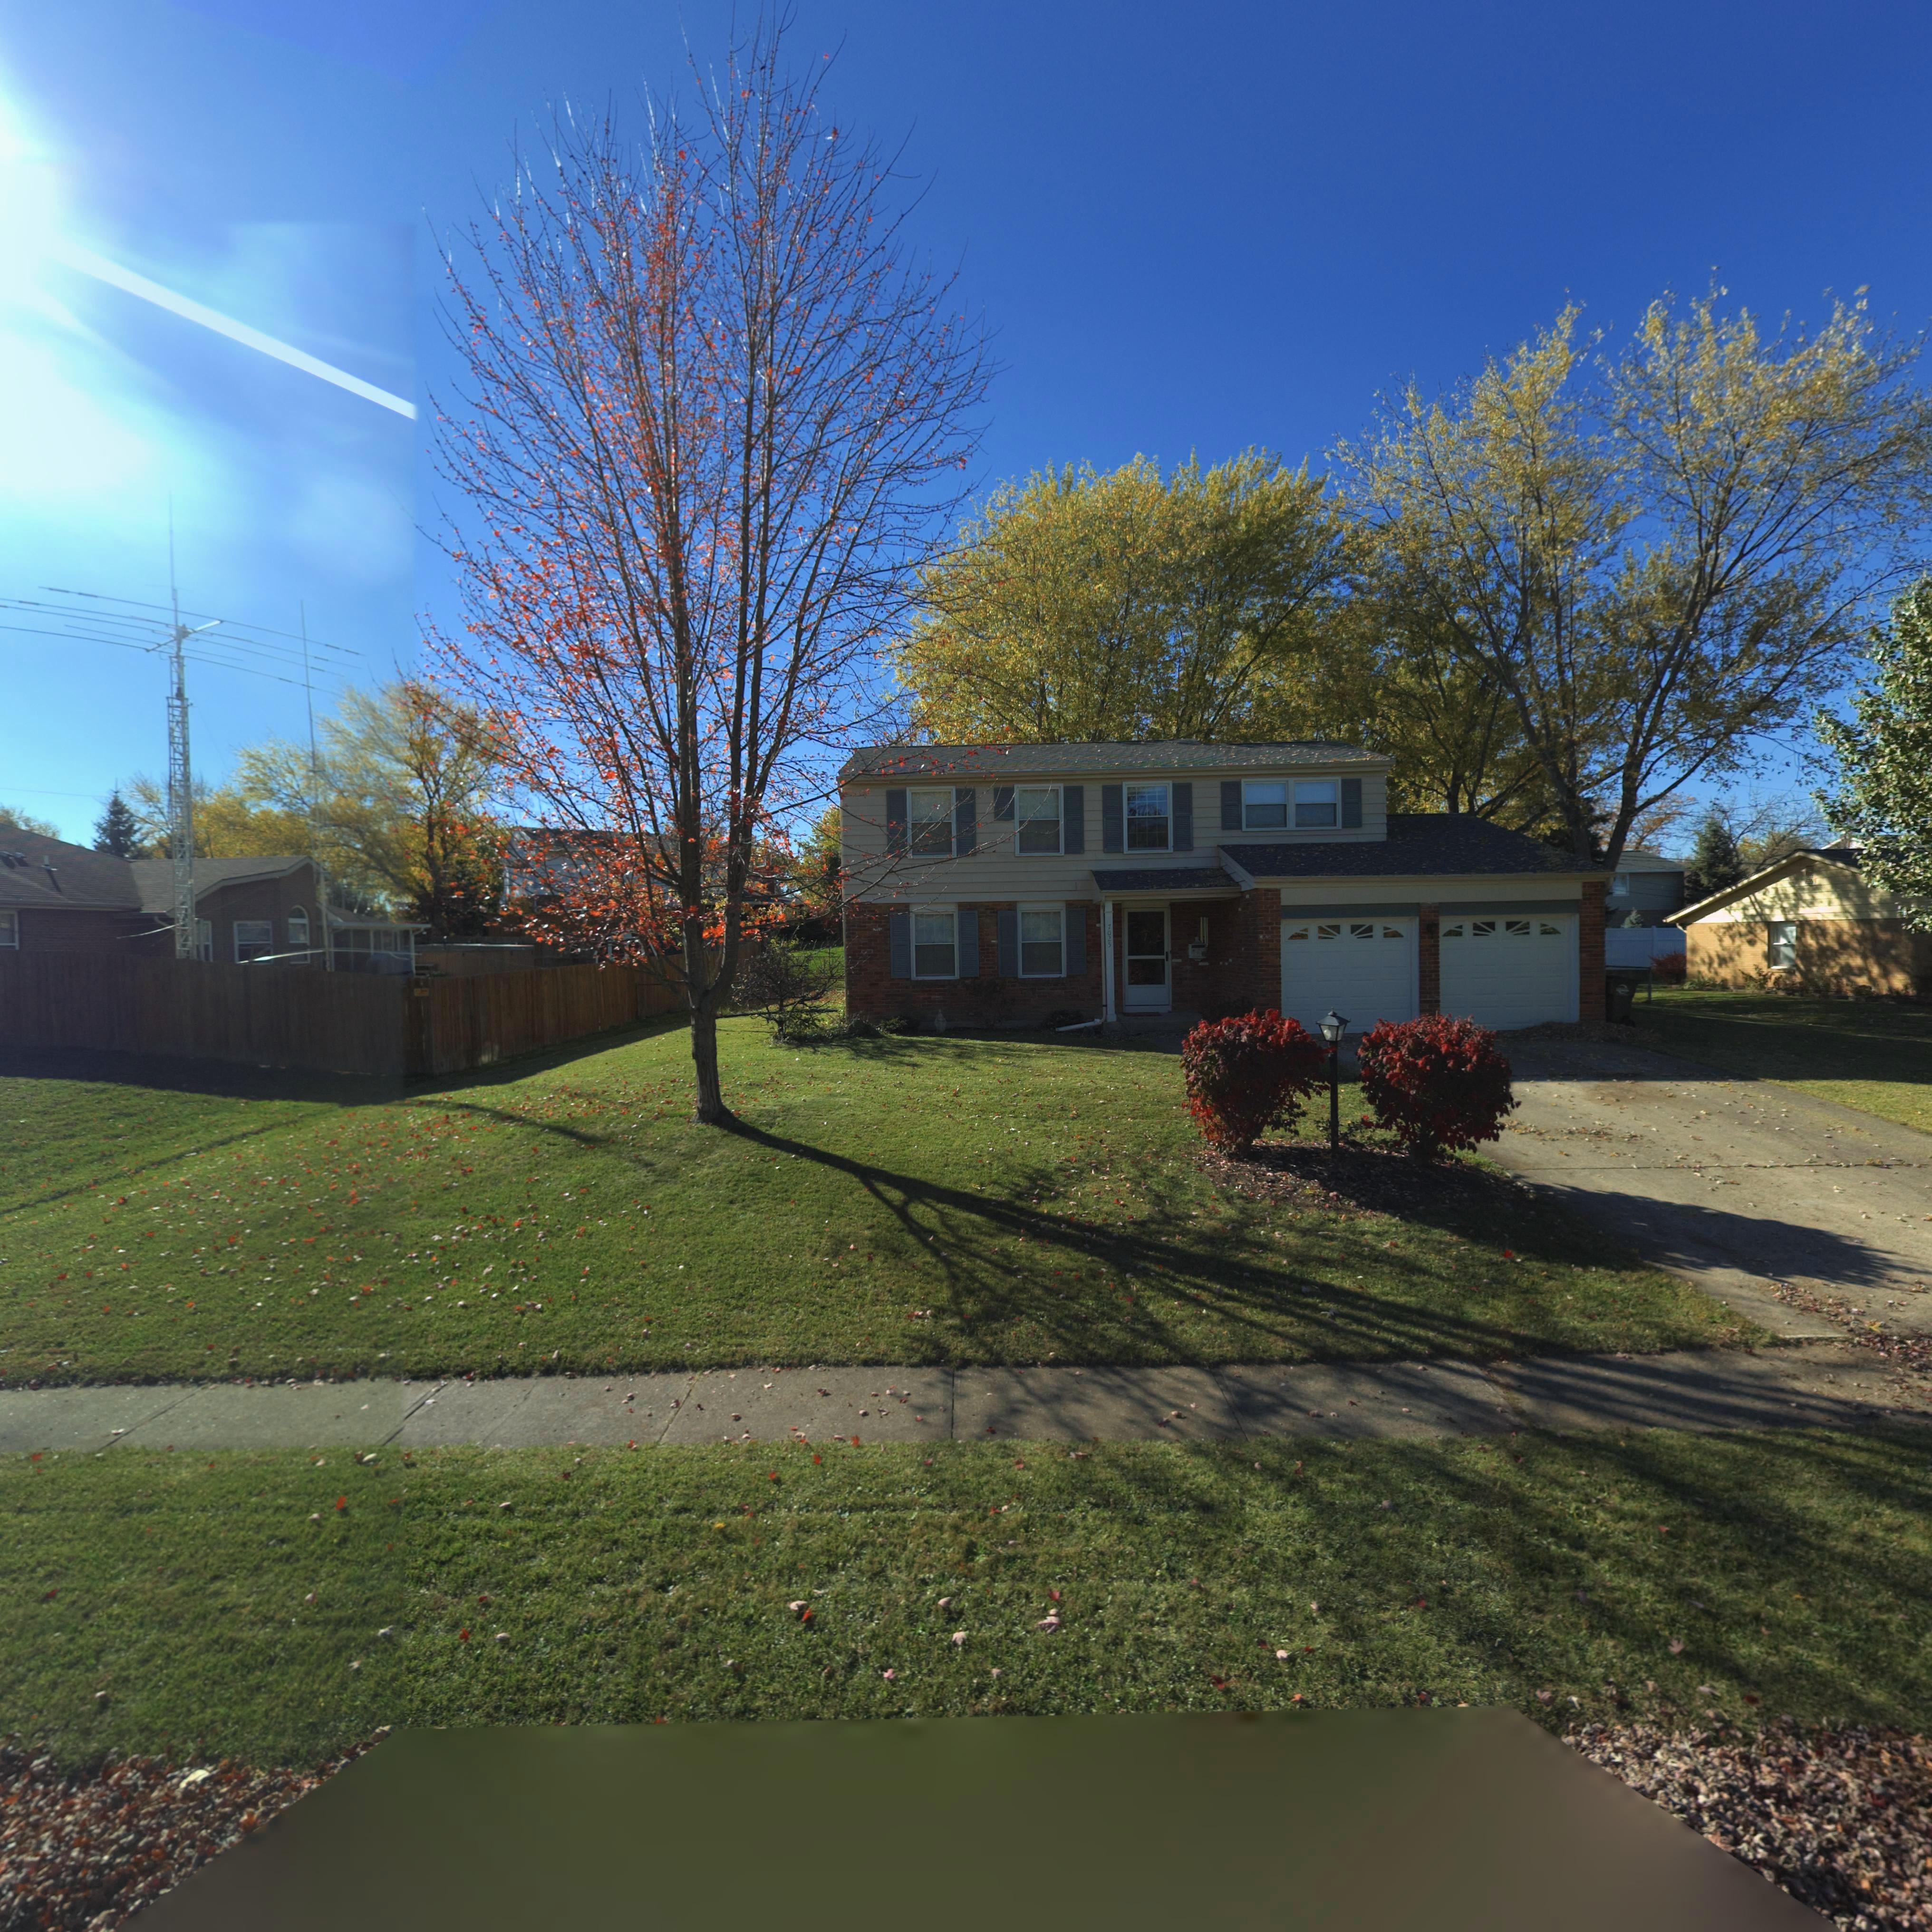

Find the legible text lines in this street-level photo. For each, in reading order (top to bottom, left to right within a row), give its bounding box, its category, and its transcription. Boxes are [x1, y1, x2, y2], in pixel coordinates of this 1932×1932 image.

[1106, 922, 1112, 948] StreetNumber: 7025